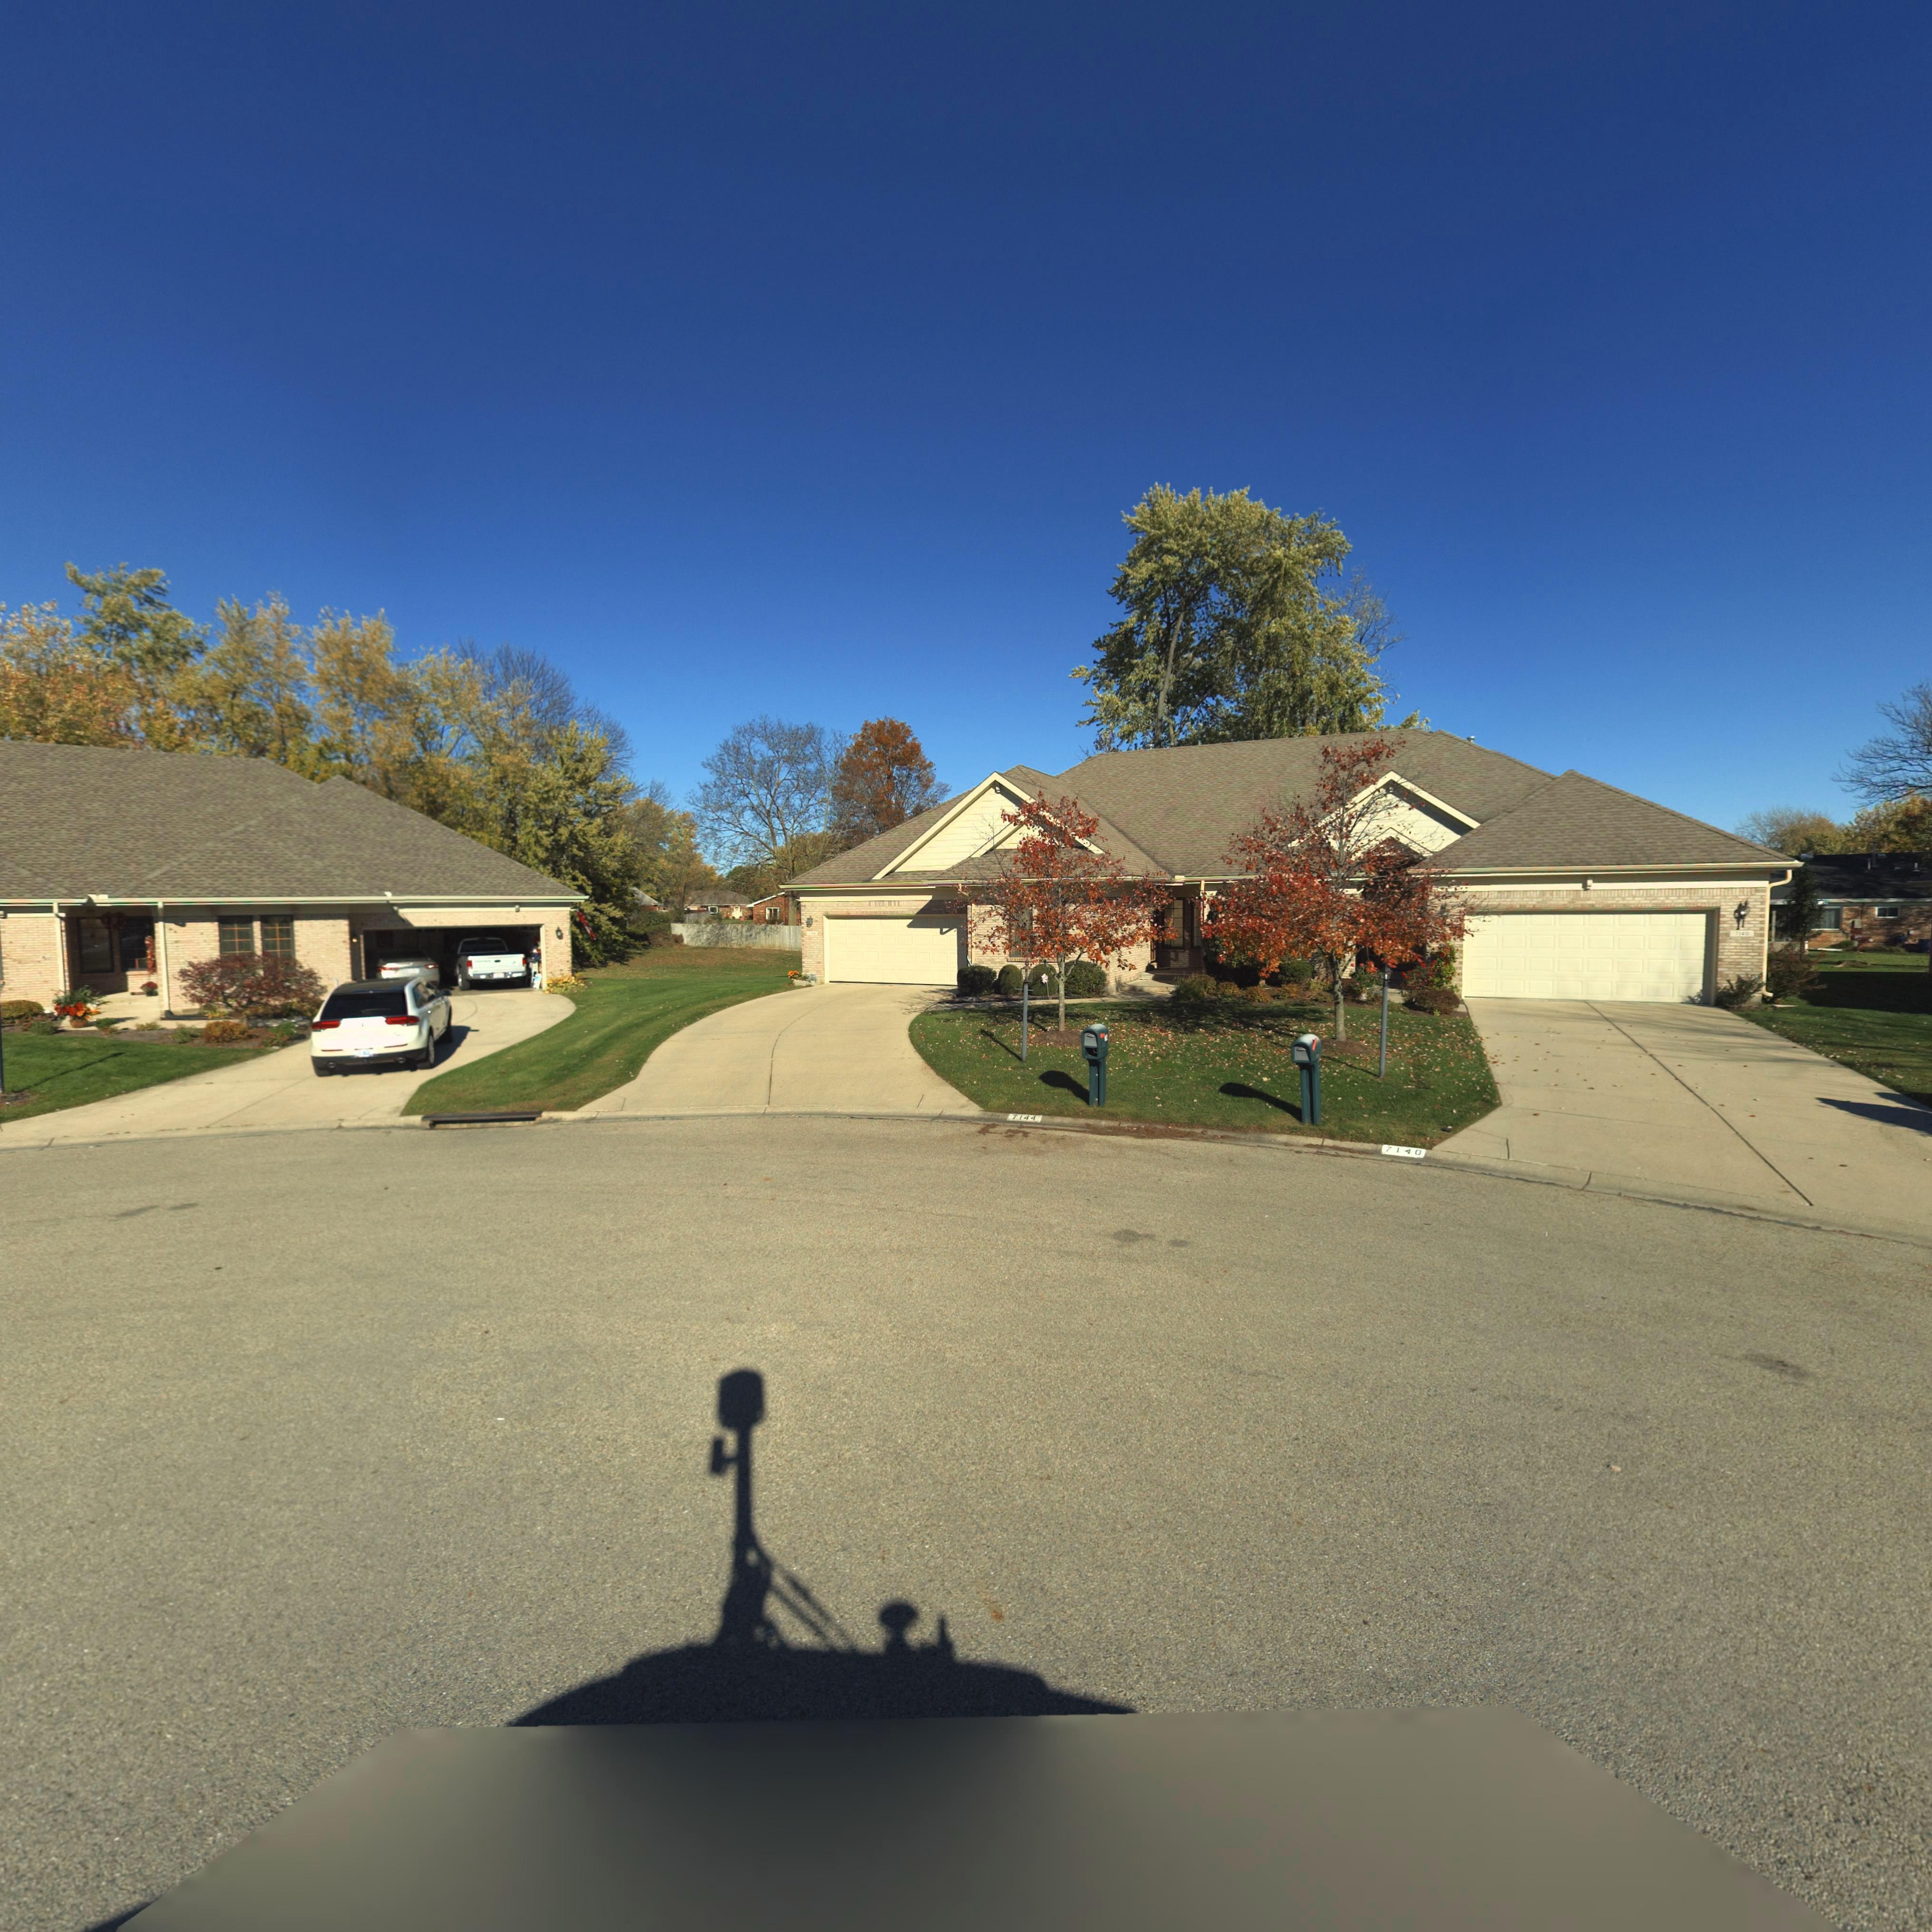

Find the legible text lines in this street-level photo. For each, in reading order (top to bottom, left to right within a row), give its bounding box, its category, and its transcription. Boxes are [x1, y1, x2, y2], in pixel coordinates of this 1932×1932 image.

[811, 931, 816, 935] StreetNumber: 44
[1734, 931, 1749, 936] StreetNumber: 71\40
[1012, 1113, 1037, 1121] StreetNumber: 7144
[1385, 1145, 1422, 1156] StreetNumber: 7140